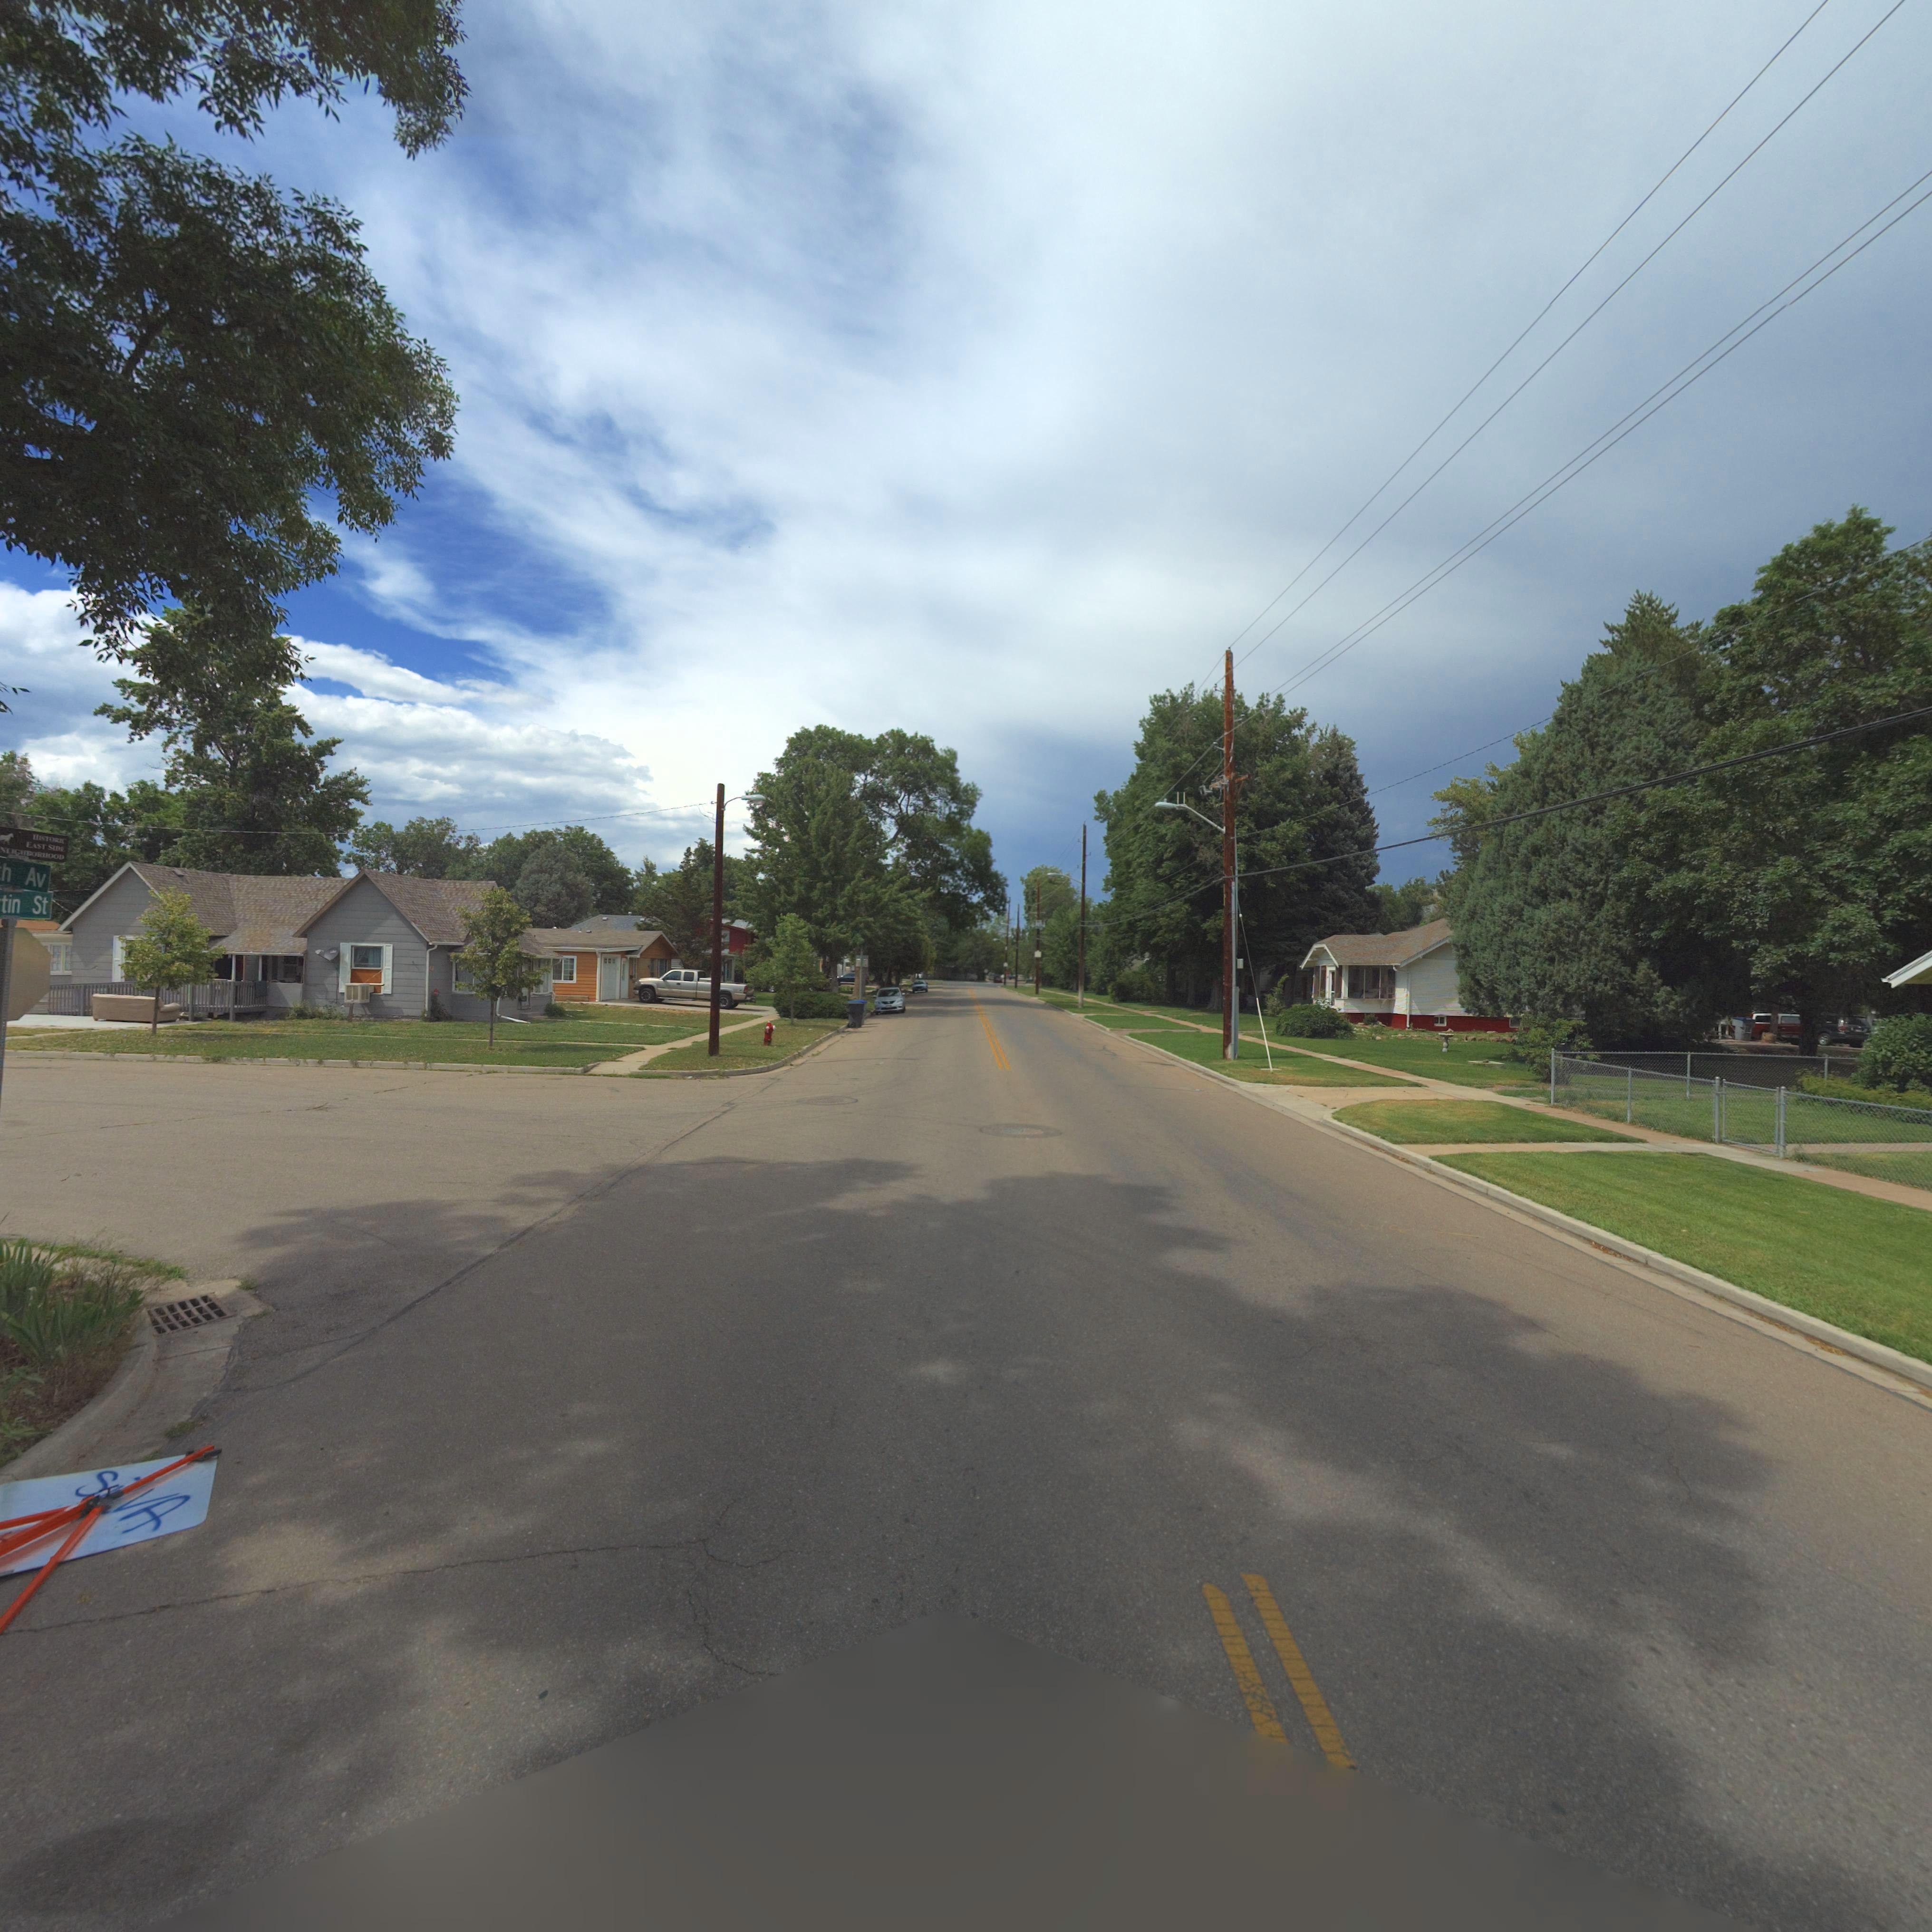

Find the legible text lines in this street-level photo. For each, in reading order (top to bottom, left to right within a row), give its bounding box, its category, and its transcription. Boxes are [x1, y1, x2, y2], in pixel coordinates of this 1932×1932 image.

[0, 858, 49, 889] StreetName: h Av
[1, 893, 49, 916] StreetName: tin St